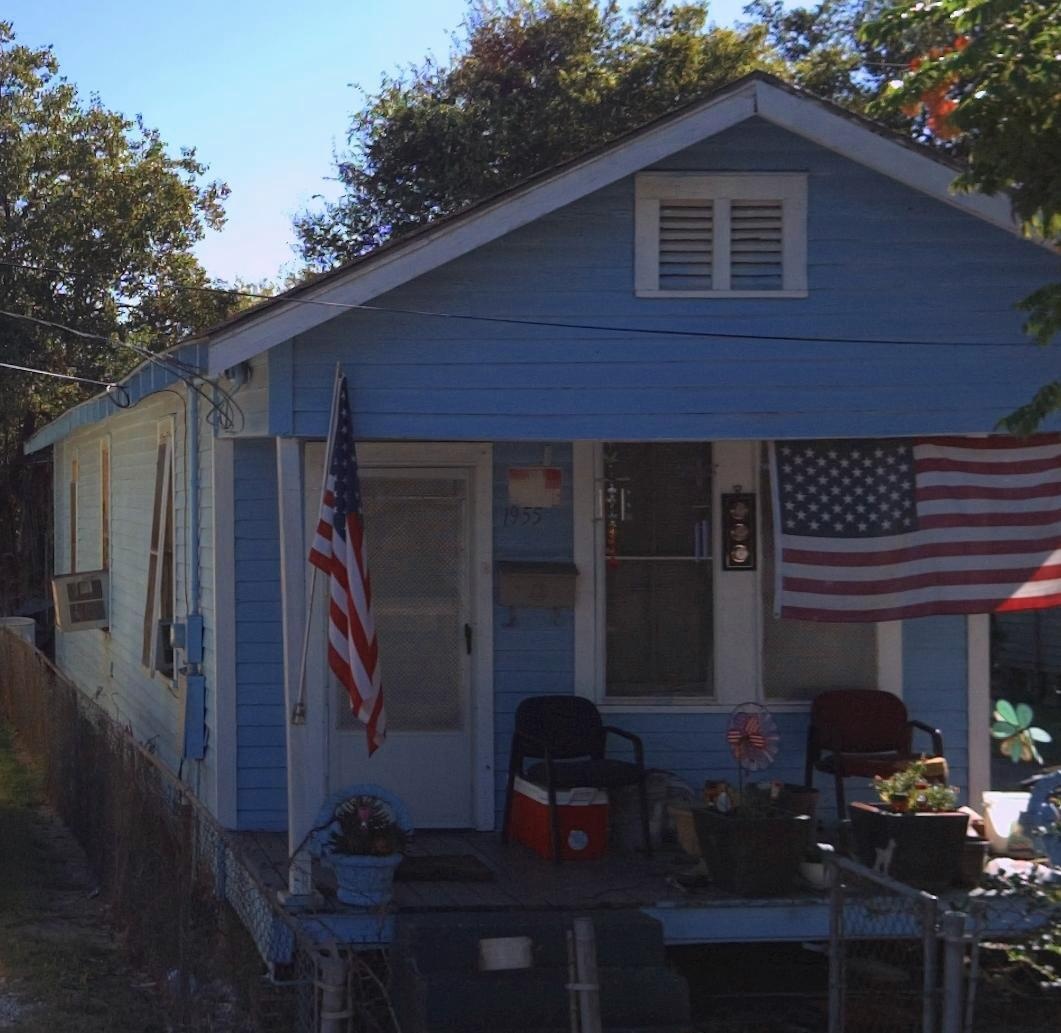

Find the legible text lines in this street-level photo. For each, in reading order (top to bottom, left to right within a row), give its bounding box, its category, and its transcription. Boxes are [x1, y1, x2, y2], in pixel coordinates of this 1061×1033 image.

[499, 504, 546, 530] StreetNumber: 1955